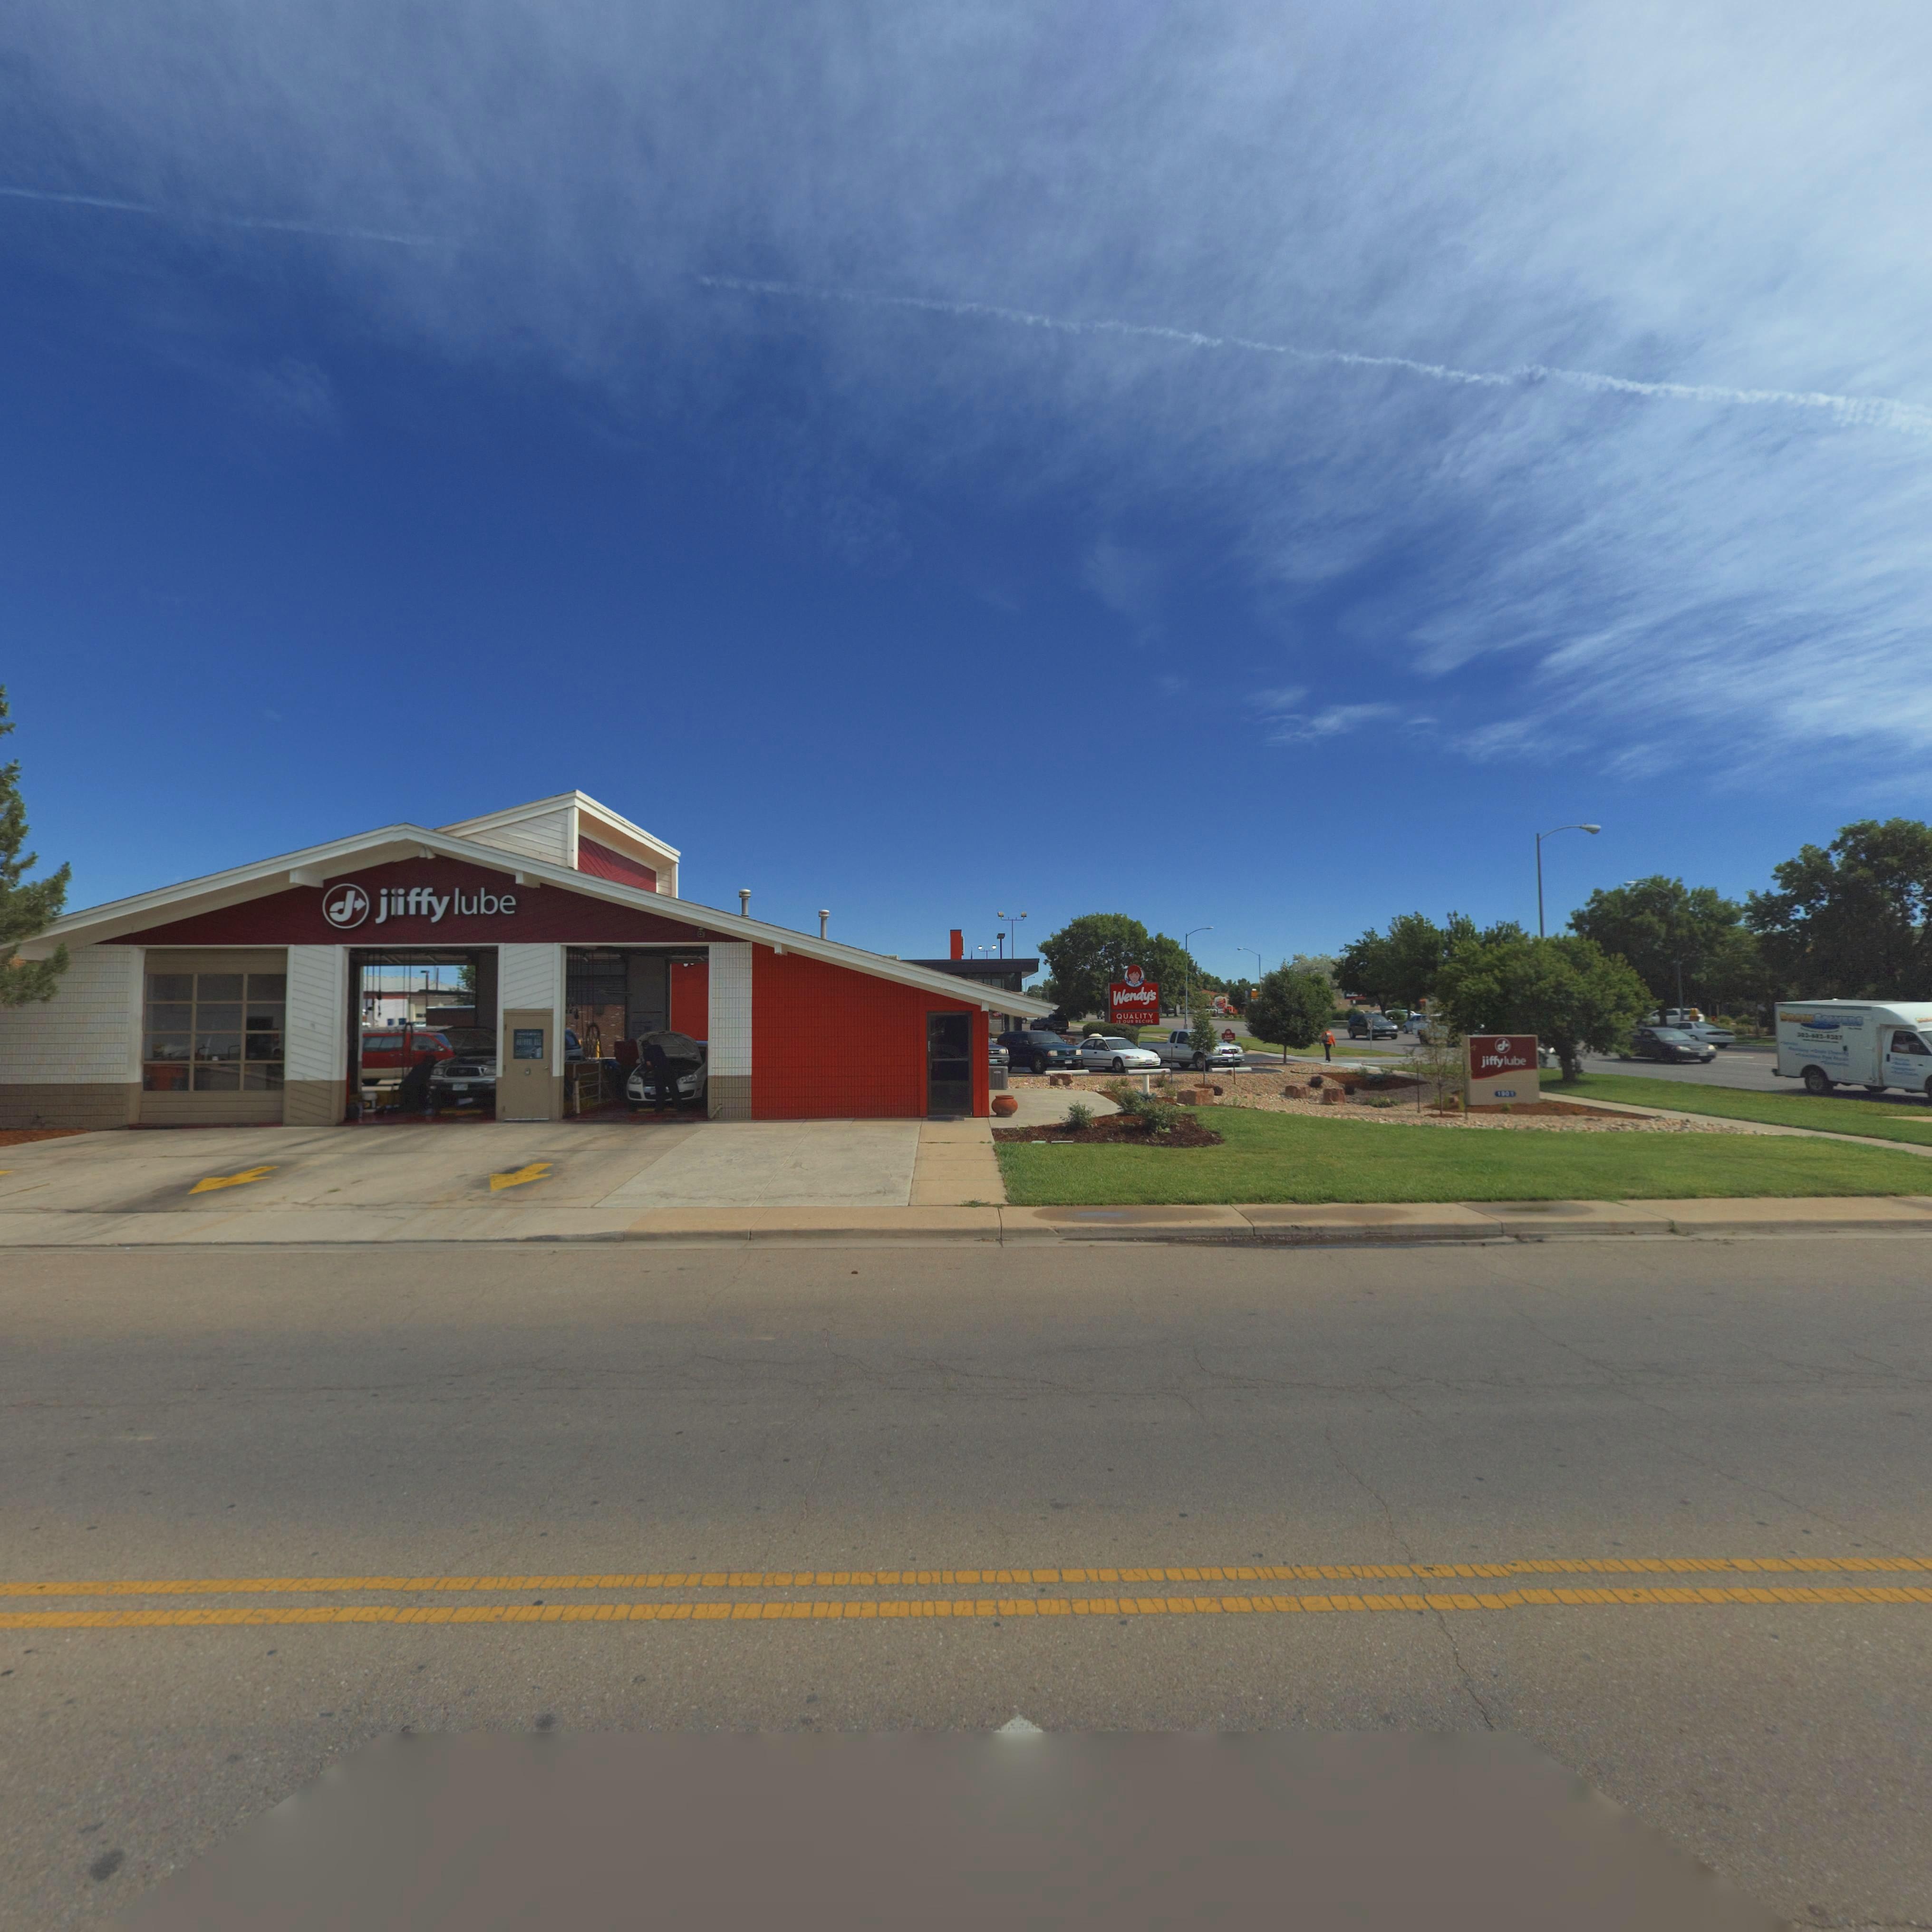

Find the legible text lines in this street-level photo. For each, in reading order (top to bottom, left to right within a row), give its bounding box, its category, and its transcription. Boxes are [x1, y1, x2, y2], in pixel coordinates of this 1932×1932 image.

[374, 887, 517, 924] BusinessName: j*iffy lube
[1112, 986, 1156, 1005] BusinessName: Wendy's
[1480, 1055, 1527, 1068] BusinessName: jiffy lube
[1497, 1091, 1514, 1096] StreetNumber: 190*